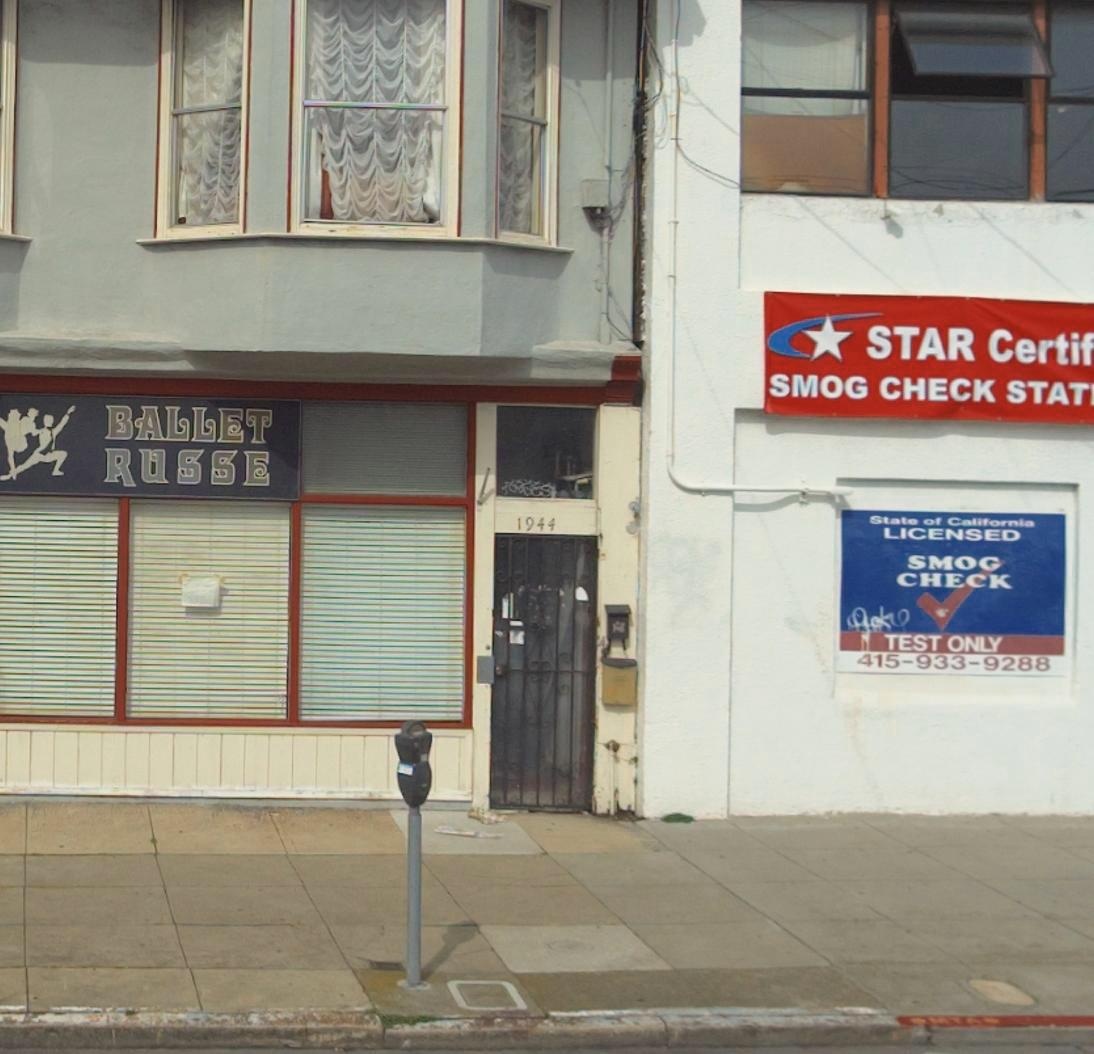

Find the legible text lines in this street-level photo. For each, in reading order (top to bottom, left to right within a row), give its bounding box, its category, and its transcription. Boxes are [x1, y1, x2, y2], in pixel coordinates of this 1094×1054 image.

[864, 320, 1083, 366] None: STAR Certi
[766, 370, 1093, 407] None: SMOG CHECK STAT
[102, 403, 275, 447] BusinessName: BALLET
[99, 444, 273, 489] BusinessName: RUSSE
[516, 515, 557, 533] StreetNumber: 1944
[866, 512, 1037, 530] None: State of California
[882, 525, 1024, 544] None: LICENSED
[906, 552, 1004, 573] None: SMOG
[894, 570, 1016, 591] None: CHECK
[881, 632, 1007, 653] None: TEST ONLY
[855, 651, 1054, 673] None: 415-933-9288